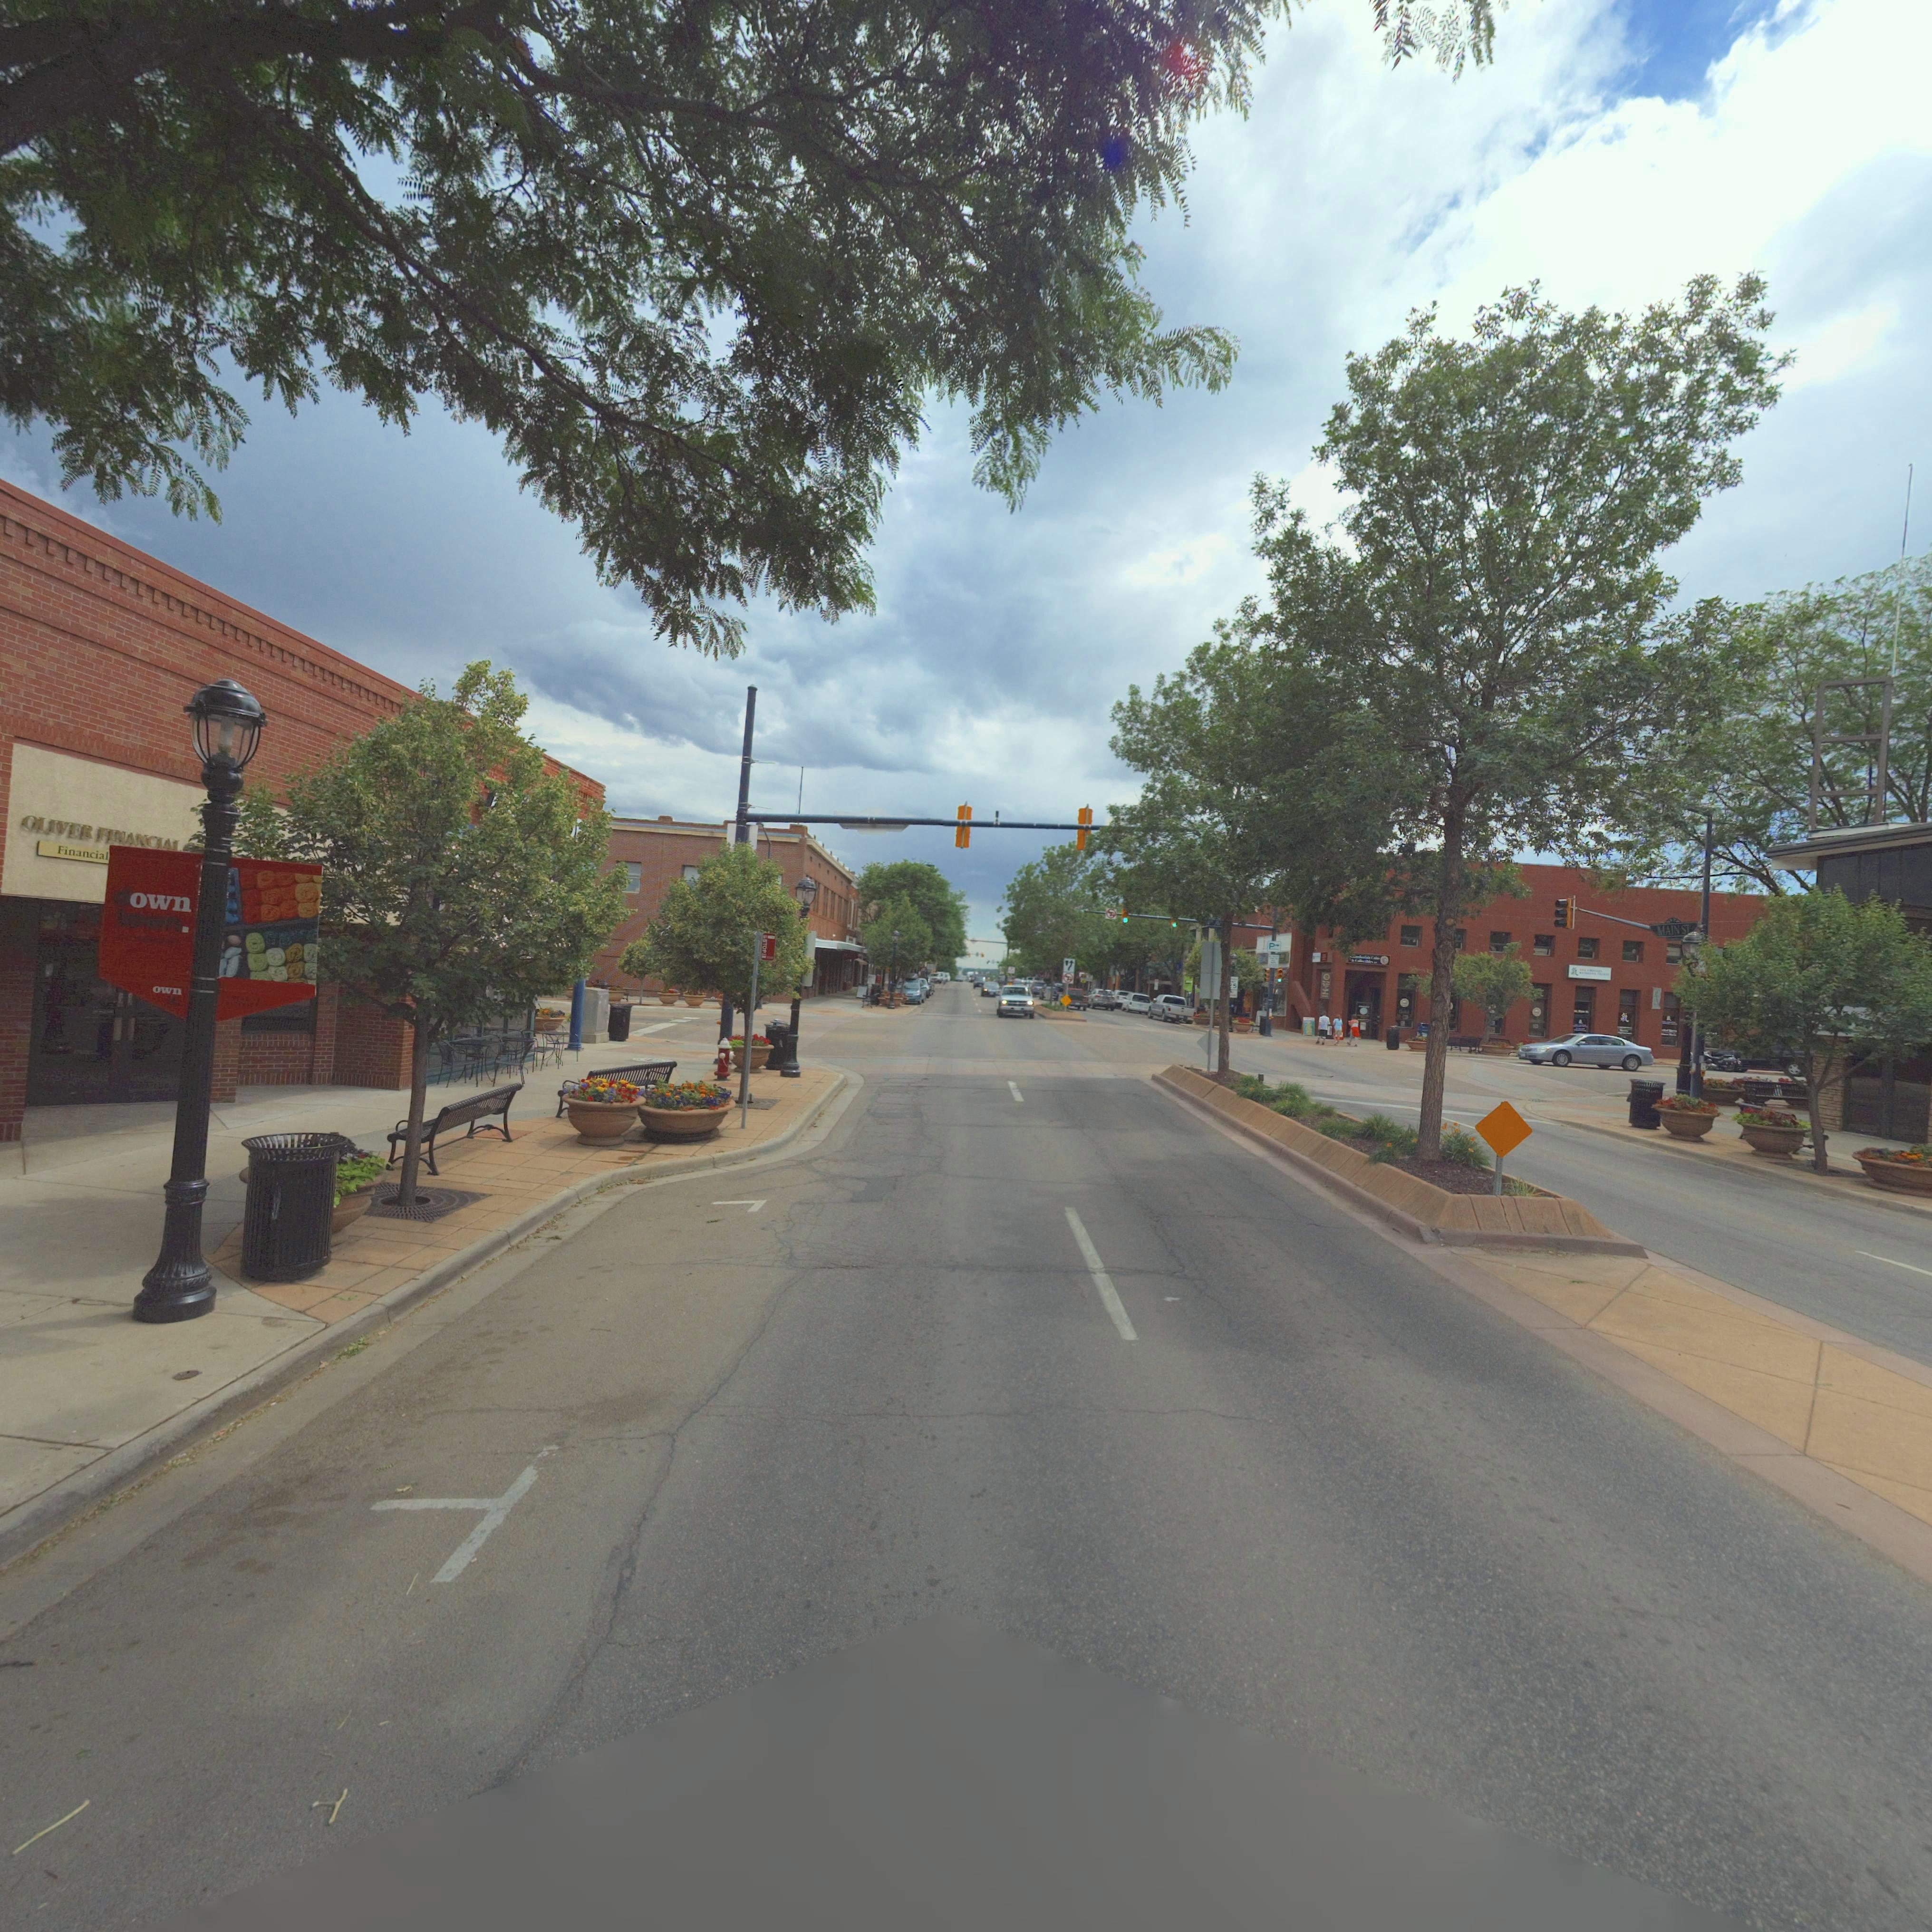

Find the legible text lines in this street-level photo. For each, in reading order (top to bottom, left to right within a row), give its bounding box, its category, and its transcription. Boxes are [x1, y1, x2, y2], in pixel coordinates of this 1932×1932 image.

[20, 814, 193, 857] BusinessName: OLIVER FINANCIAL *****
[1206, 919, 1224, 926] StreetName: *** AV*
[1656, 924, 1691, 935] StreetName: MAIN ST